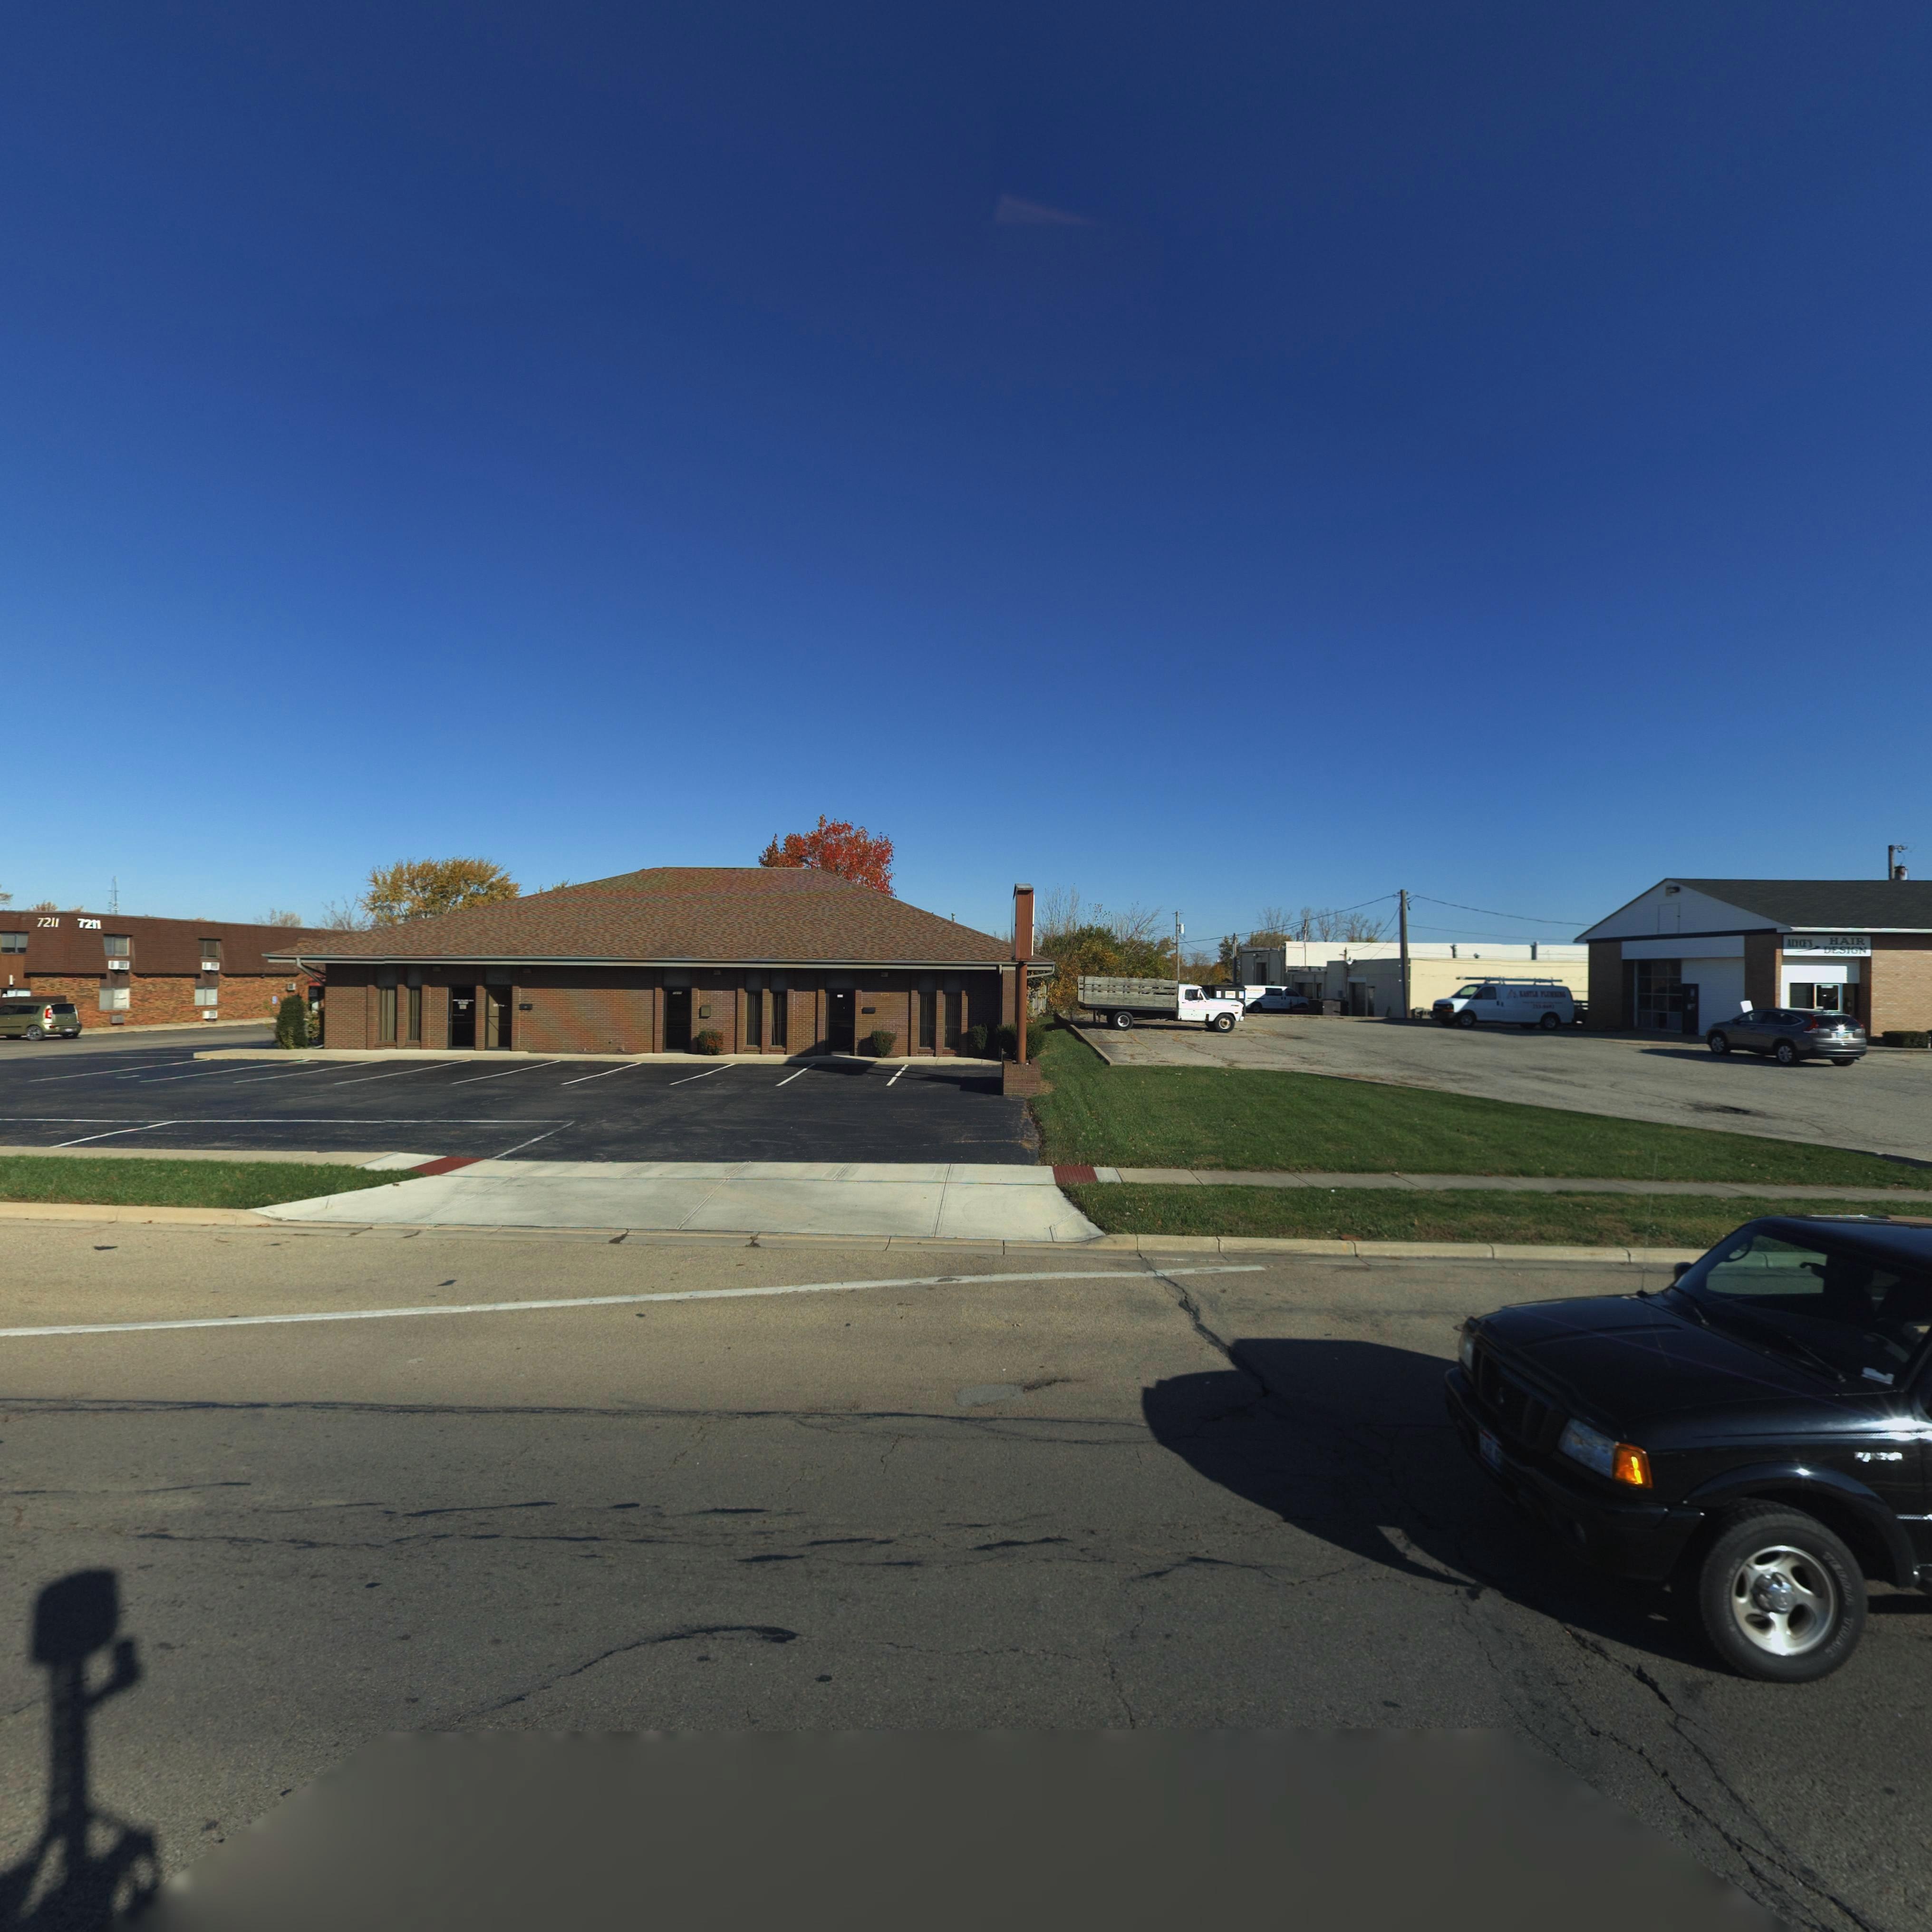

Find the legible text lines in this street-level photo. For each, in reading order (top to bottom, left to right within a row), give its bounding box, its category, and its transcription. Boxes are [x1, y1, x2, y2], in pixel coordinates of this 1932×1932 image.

[35, 917, 61, 929] StreetNumber: 7211
[75, 917, 102, 930] StreetNumber: 7211
[1785, 938, 1813, 948] BusinessName: ALYCE'S
[1828, 937, 1866, 946] BusinessName: HAIR
[1822, 946, 1867, 954] BusinessName: DESIGN